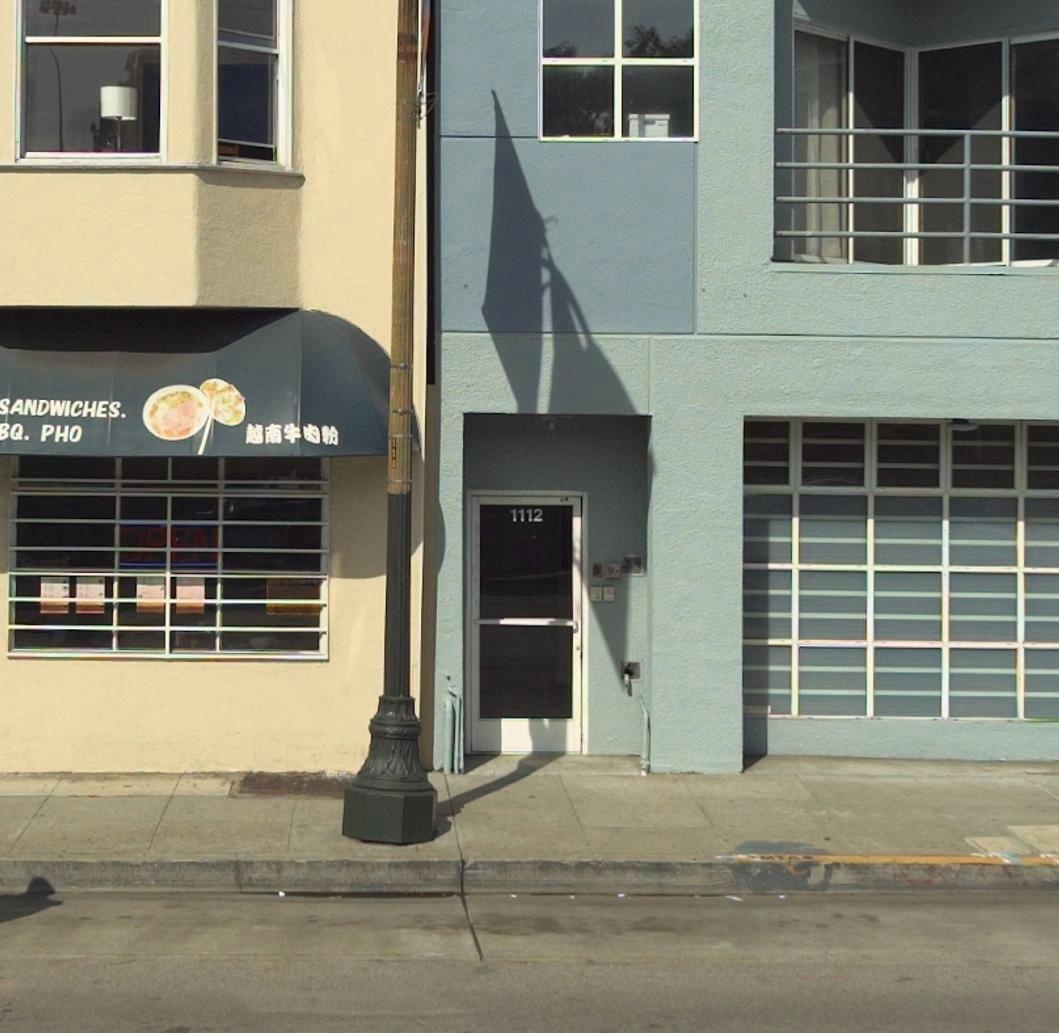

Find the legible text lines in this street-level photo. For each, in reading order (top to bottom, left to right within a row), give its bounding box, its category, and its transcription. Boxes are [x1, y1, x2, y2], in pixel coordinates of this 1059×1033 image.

[0, 392, 130, 423] BusinessName: SANDWICHES.
[0, 417, 86, 446] BusinessName: BQ. PHO
[506, 505, 547, 525] StreetNumber: 1112